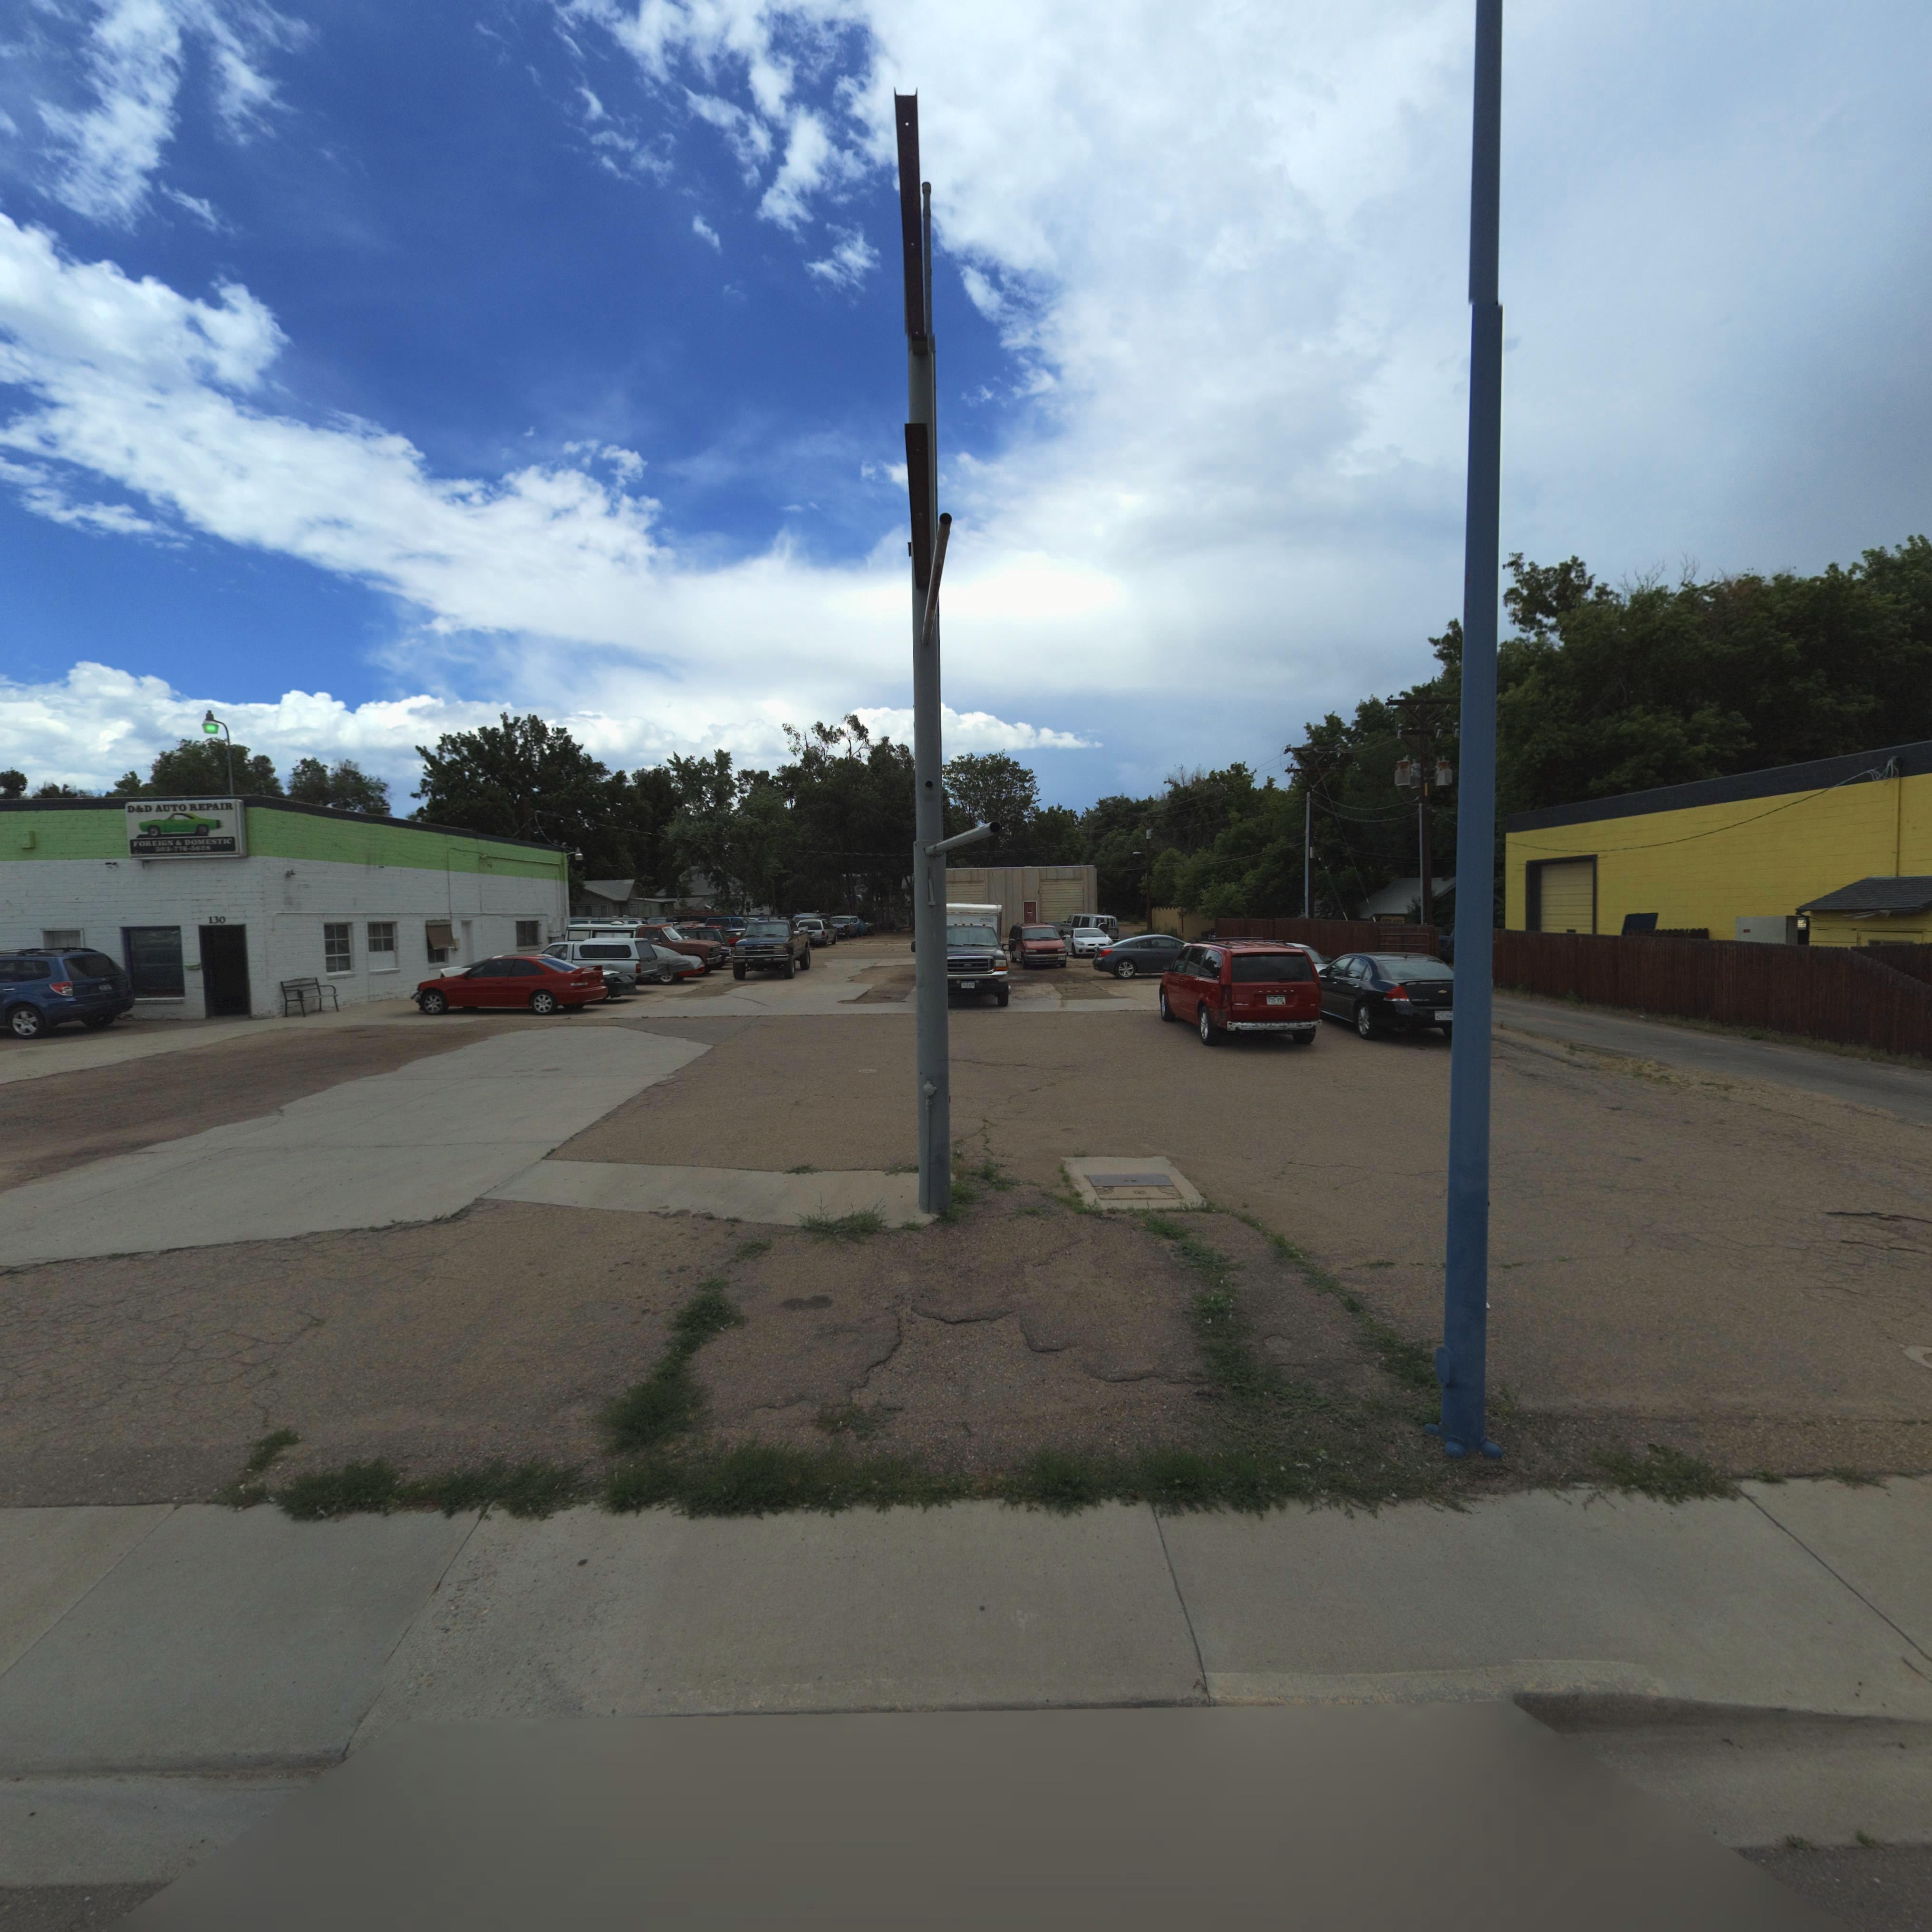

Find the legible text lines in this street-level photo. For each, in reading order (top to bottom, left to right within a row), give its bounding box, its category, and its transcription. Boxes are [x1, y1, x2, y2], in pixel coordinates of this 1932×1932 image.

[126, 802, 234, 812] BusinessName: D&D AUTO REPAIR
[208, 915, 226, 924] StreetNumber: 130